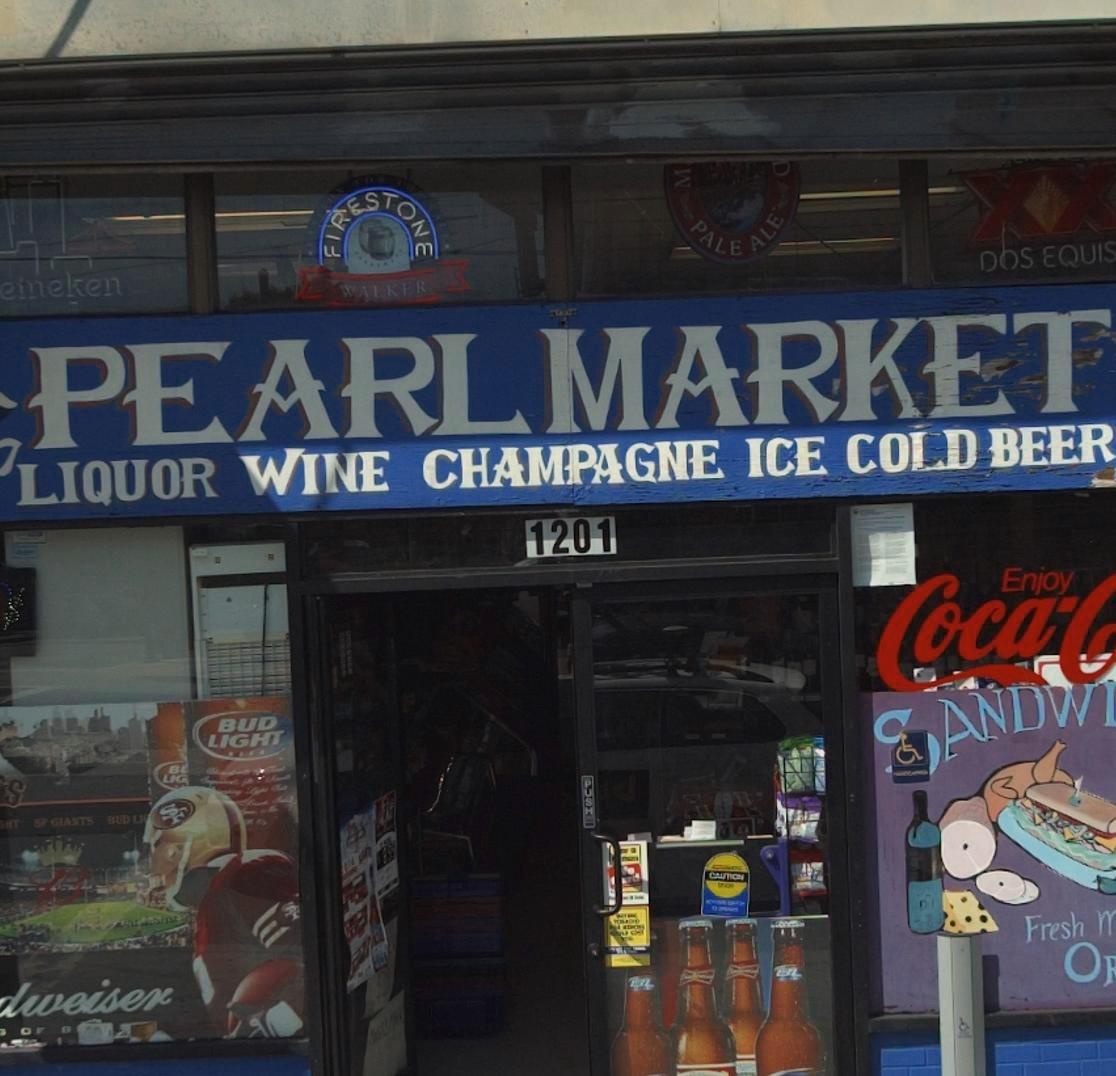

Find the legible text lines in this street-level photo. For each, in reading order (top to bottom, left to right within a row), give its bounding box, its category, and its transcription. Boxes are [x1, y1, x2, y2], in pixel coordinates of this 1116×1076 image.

[957, 160, 1112, 244] None: XX
[315, 184, 437, 260] None: FIRESTONE
[682, 208, 794, 258] None: PALE ALE
[978, 240, 1103, 274] None: DOS EQUI
[1, 270, 128, 302] None: eineken
[329, 278, 429, 302] None: WALKER
[24, 305, 1116, 453] BusinessName: PERAL MARKET
[11, 419, 1116, 509] None: LIQUOR WINE CHAMPAGNE ICE COLD BEER
[528, 518, 613, 556] StreetNumber: 1201
[998, 561, 1080, 593] None: Enjoy
[871, 567, 1116, 686] None: Coca-*
[213, 714, 278, 733] None: BUD
[205, 728, 286, 749] None: LIGHT
[929, 677, 1116, 765] None: ANDWI
[583, 778, 593, 815] None: PUSH
[708, 872, 747, 881] None: CAUTION
[1019, 907, 1089, 942] None: Fresh
[1058, 939, 1105, 985] None: O
[17, 975, 178, 1019] None: WEISER